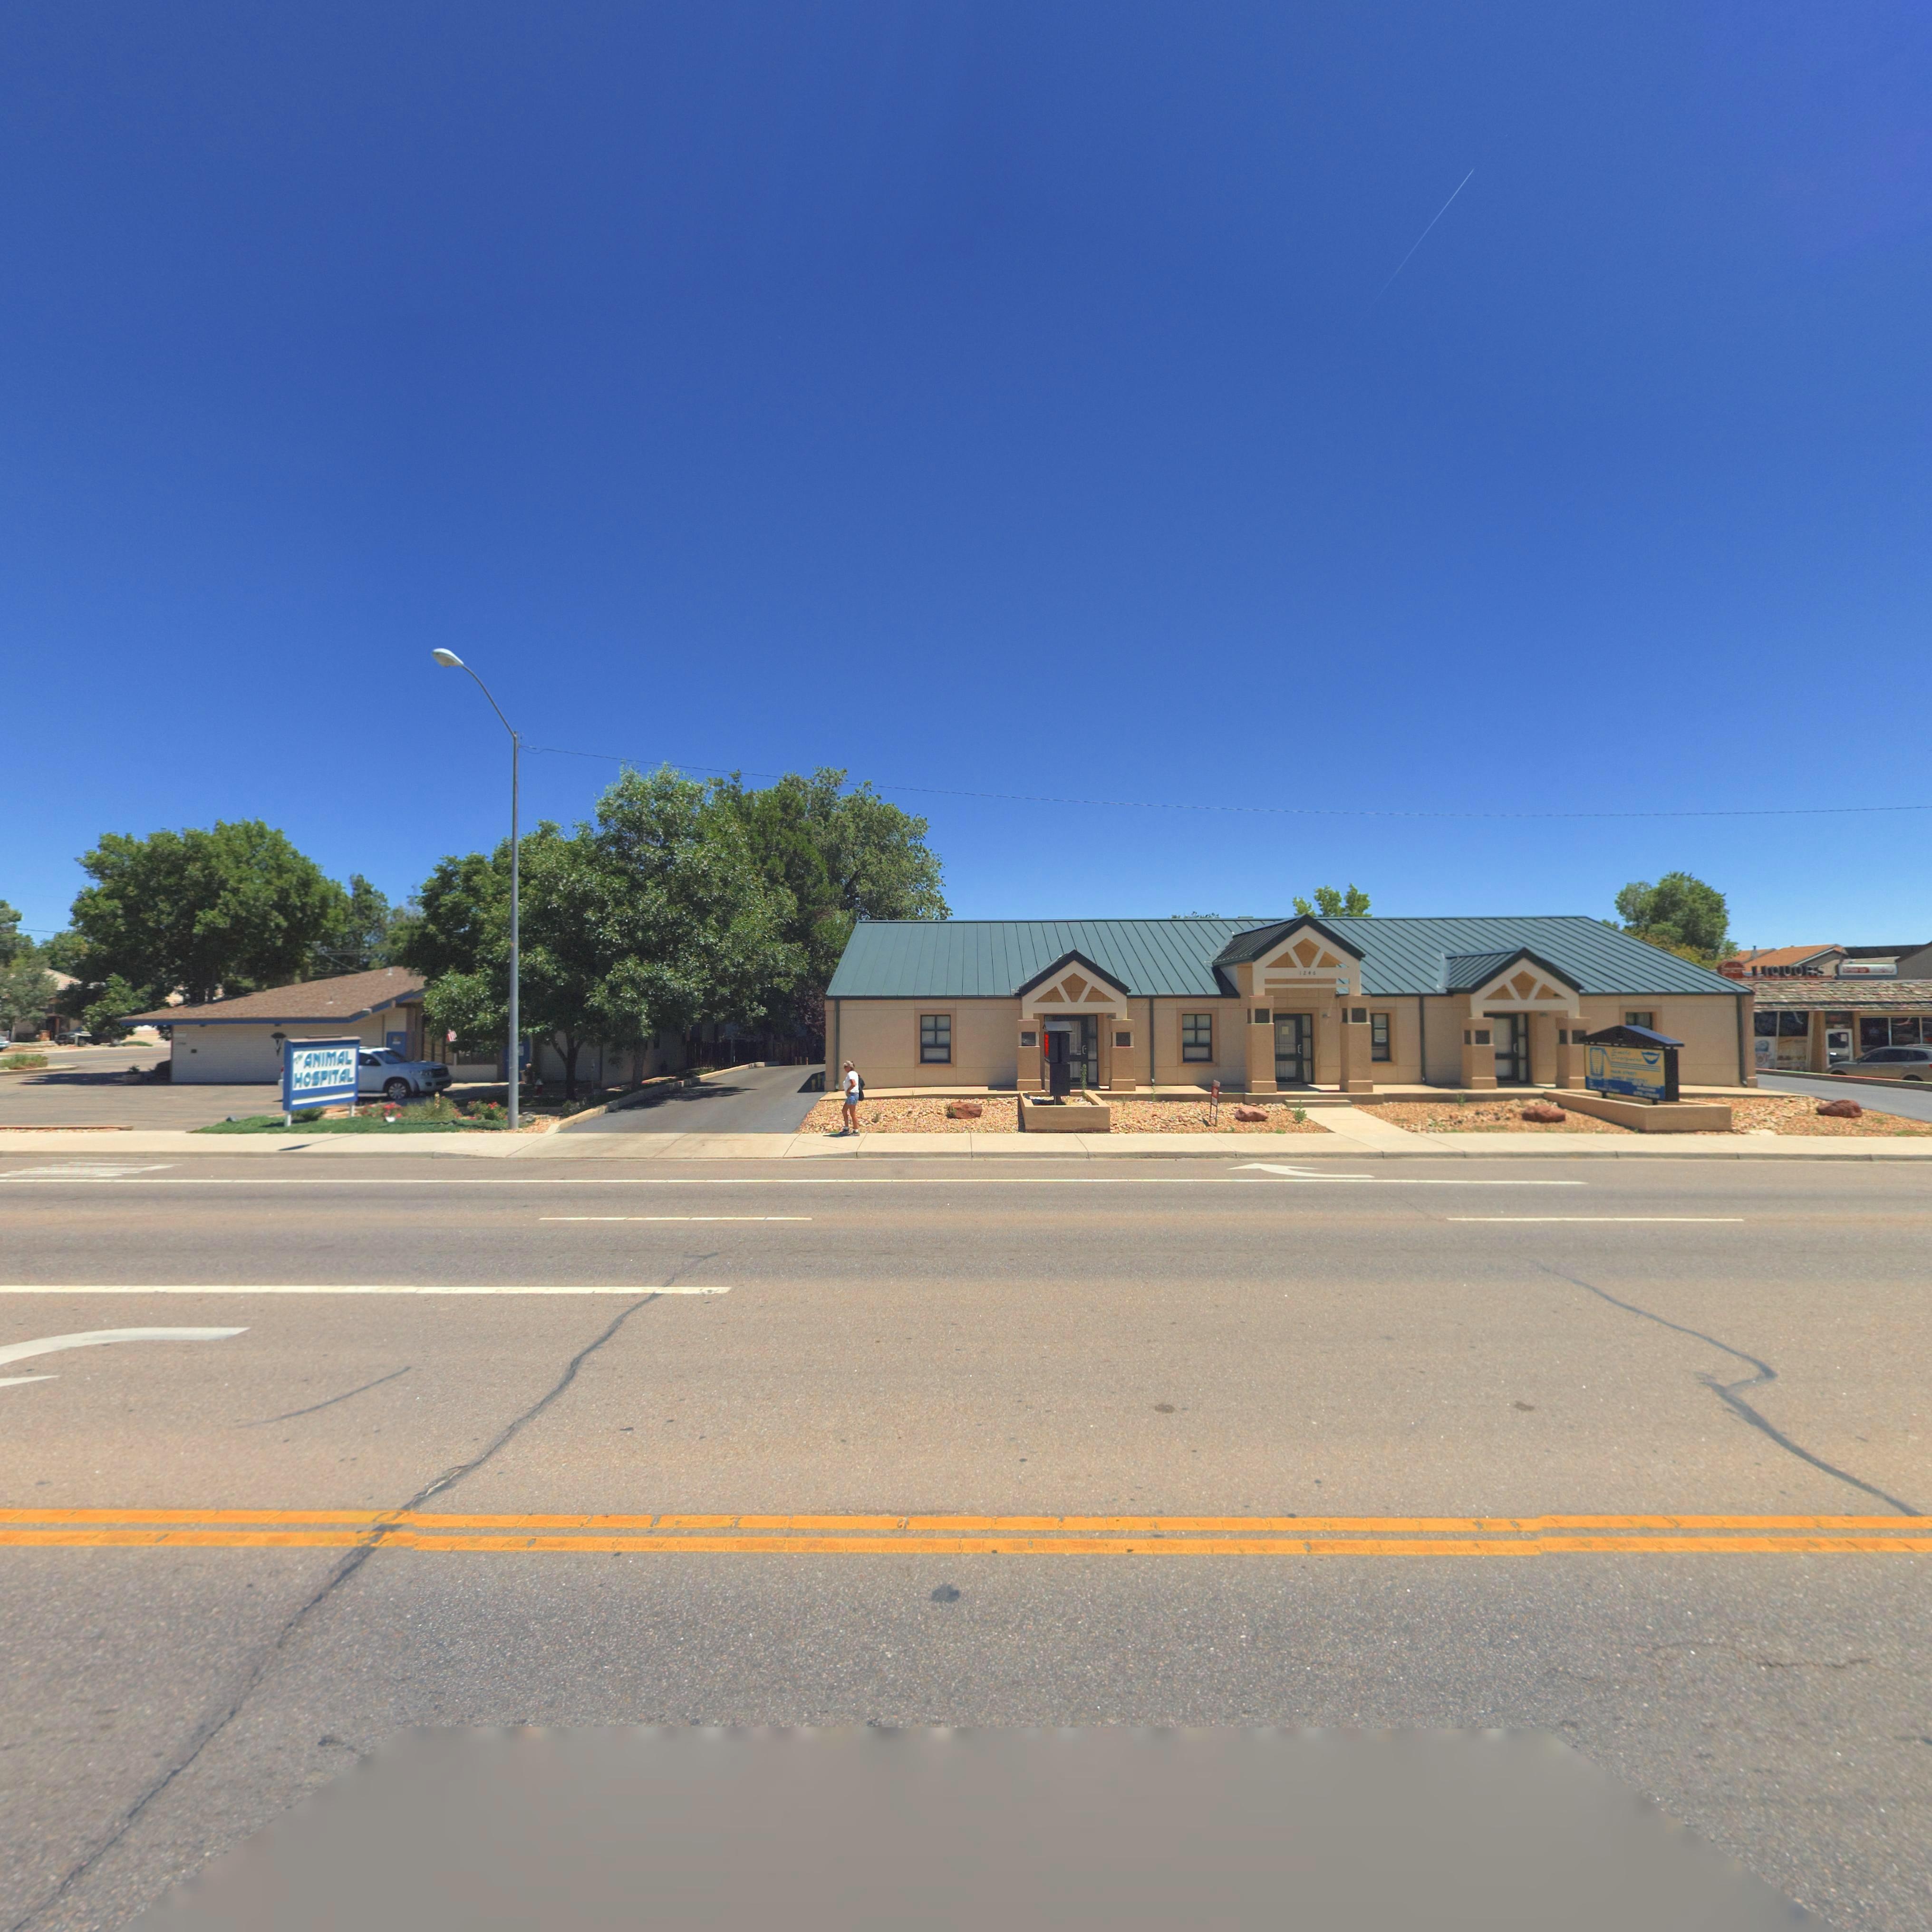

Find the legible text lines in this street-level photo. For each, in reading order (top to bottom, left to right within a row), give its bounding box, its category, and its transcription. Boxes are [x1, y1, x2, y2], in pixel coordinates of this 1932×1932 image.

[1298, 970, 1316, 975] StreetNumber: 1246
[1721, 967, 1745, 974] BusinessName: Q***TY
[1754, 965, 1826, 976] BusinessName: LIQUORS
[1611, 1048, 1630, 1055] BusinessName: Smile
[292, 1051, 304, 1065] BusinessName: The
[303, 1050, 354, 1069] BusinessName: ANIMAL
[1610, 1053, 1642, 1062] BusinessName: Designers
[293, 1067, 355, 1089] BusinessName: HOSPITAL